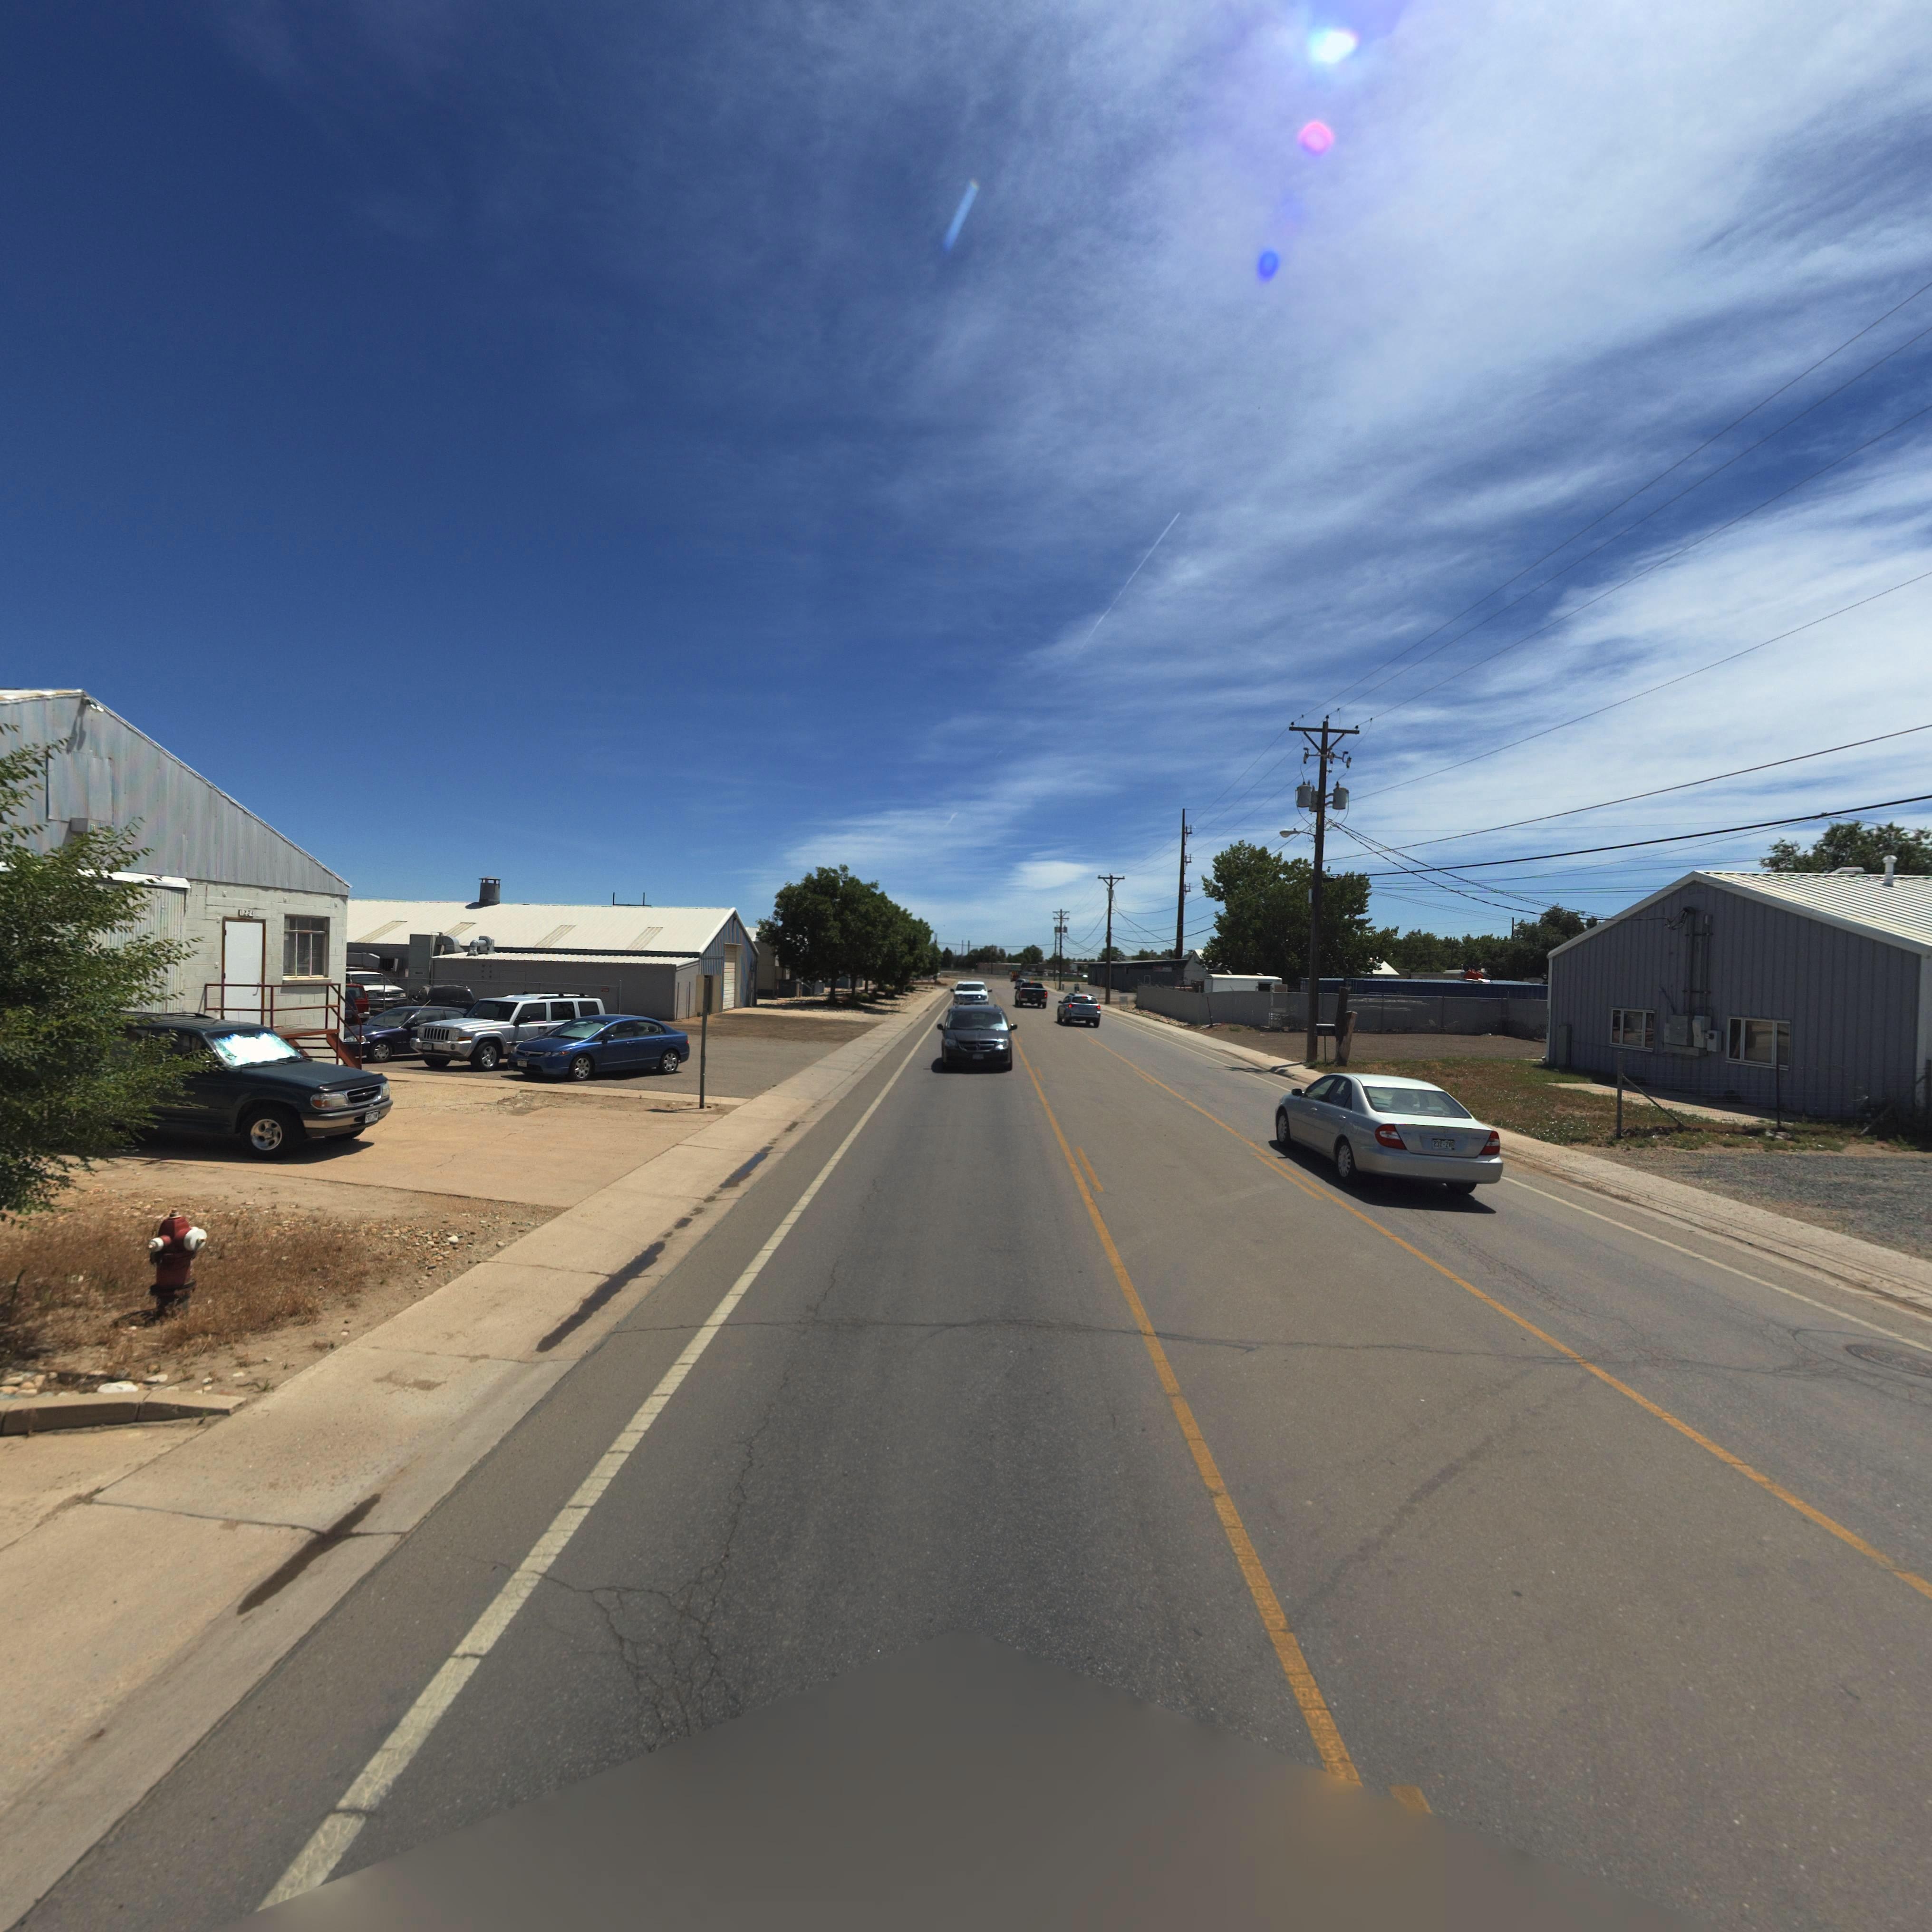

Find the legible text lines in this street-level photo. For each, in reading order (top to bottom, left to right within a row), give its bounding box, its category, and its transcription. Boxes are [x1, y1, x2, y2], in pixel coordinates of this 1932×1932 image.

[239, 909, 254, 916] StreetNumber: 1224